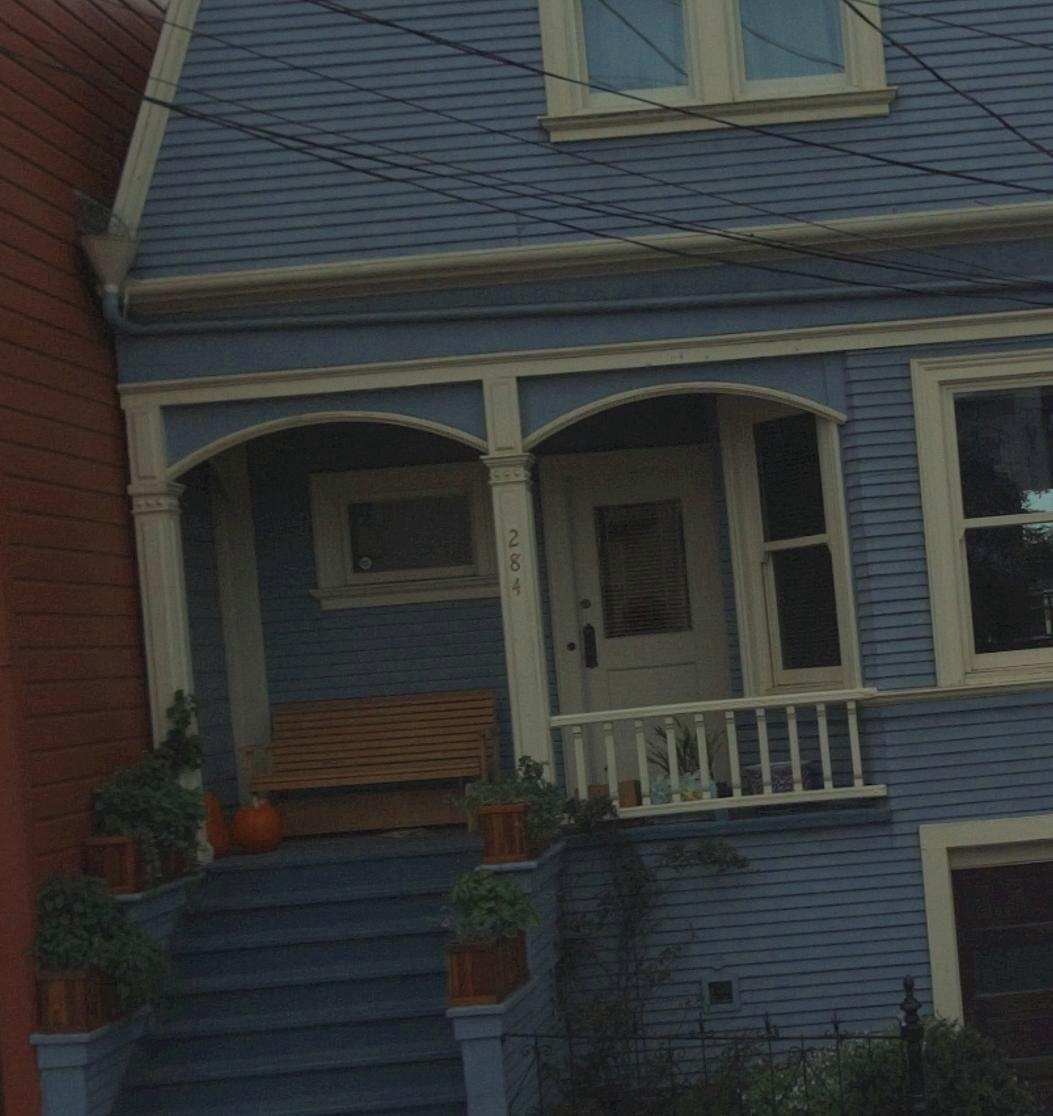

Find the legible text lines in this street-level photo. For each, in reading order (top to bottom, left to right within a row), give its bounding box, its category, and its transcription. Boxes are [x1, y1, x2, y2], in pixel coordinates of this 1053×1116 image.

[506, 528, 522, 598] StreetNumber: 284